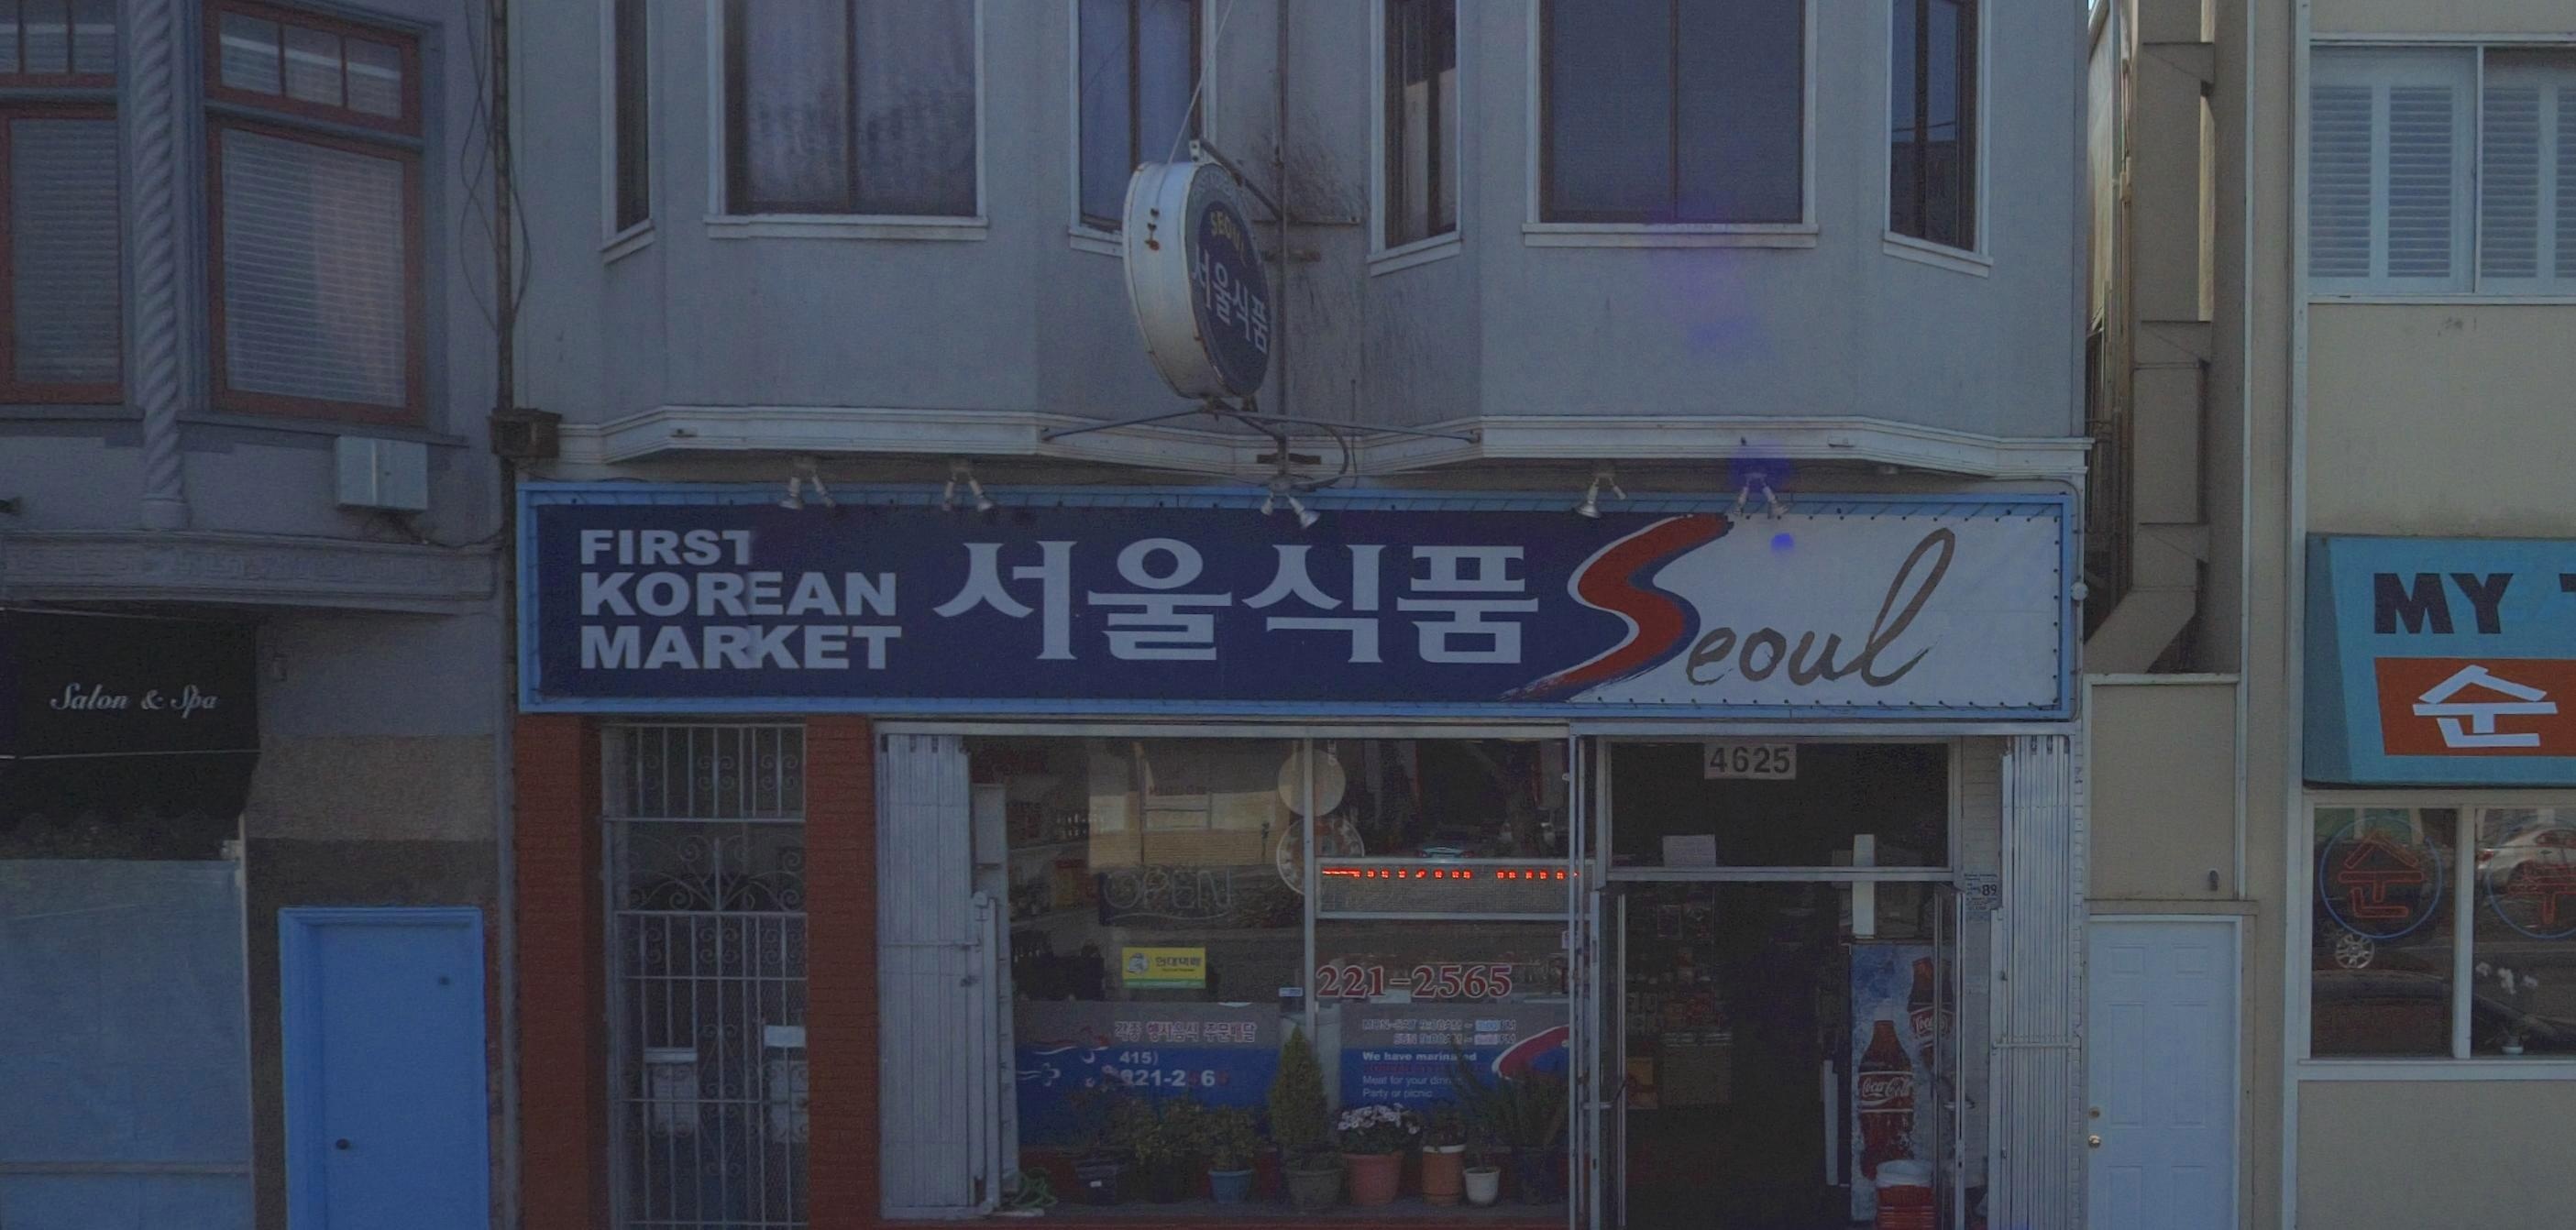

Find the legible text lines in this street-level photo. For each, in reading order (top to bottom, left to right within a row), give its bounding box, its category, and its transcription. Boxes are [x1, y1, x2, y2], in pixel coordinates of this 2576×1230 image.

[1205, 205, 1251, 274] BusinessName: SEOUL
[574, 525, 765, 573] None: FIRS*
[571, 566, 902, 620] None: KOREAN
[1554, 509, 1964, 701] BusinessName: Seoul
[2367, 566, 2524, 641] None: MY
[574, 621, 908, 676] None: MARKET
[45, 678, 222, 722] None: Salon & Spa
[1707, 744, 1792, 775] StreetNumber: 4625
[1102, 865, 1234, 912] None: OPEN
[1980, 883, 1999, 898] None: 89
[1315, 961, 1515, 1002] None: 221-2565
[1360, 1016, 1392, 1035] None: MON
[1391, 1031, 1418, 1048] None: SUN
[1117, 1049, 1154, 1067] None: 415
[1132, 1067, 1234, 1089] None: 21-2565
[1361, 1086, 1434, 1102] None: Party or picnic
[1361, 1061, 1446, 1075] None: KOREAN STYL
[1357, 1072, 1452, 1087] None: Meat for you din
[1361, 1049, 1480, 1063] None: We have ,aroma*d
[1858, 1075, 1914, 1101] None: Coca-Cola